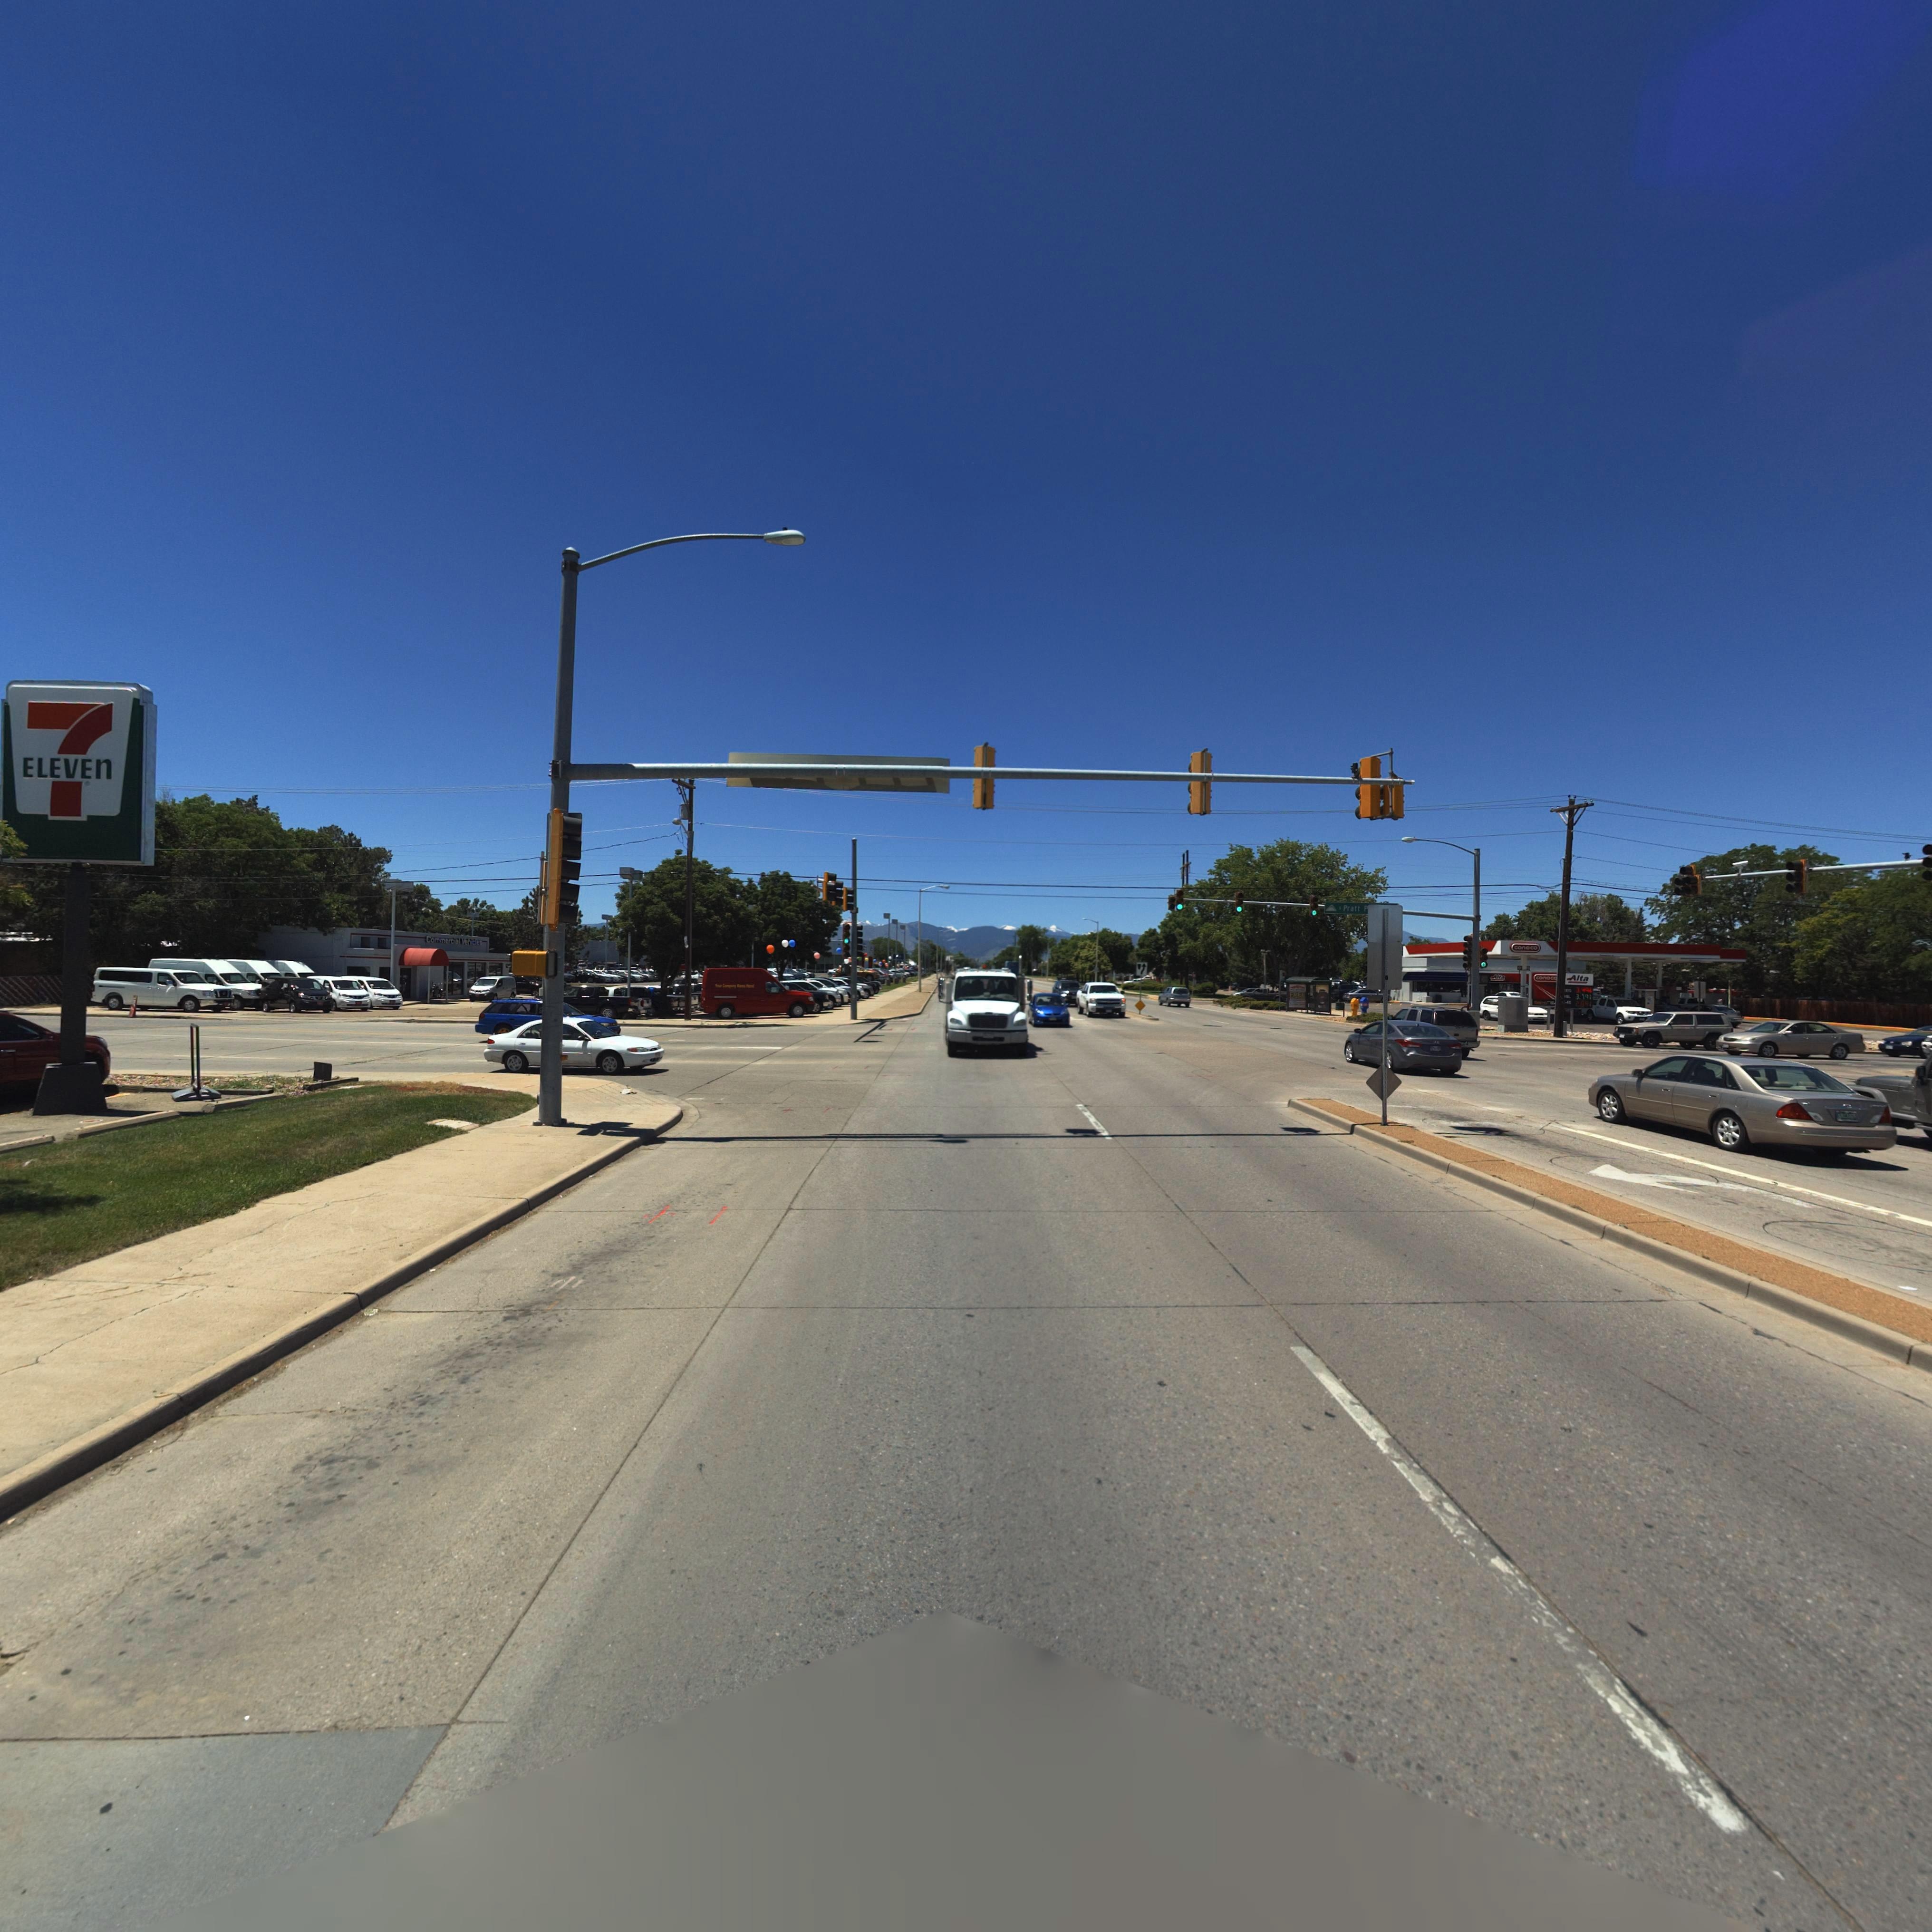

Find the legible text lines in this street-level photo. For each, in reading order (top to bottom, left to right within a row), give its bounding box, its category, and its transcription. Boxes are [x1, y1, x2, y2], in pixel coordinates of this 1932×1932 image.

[25, 699, 116, 820] BusinessName: 7
[21, 756, 112, 780] BusinessName: ELEVEN
[1338, 904, 1368, 912] StreetName: S Pratt P
[1514, 945, 1537, 950] BusinessName: conoco
[1490, 973, 1505, 979] BusinessName: Alta
[1536, 976, 1557, 980] BusinessName: conoco
[1566, 974, 1589, 982] BusinessName: Alta